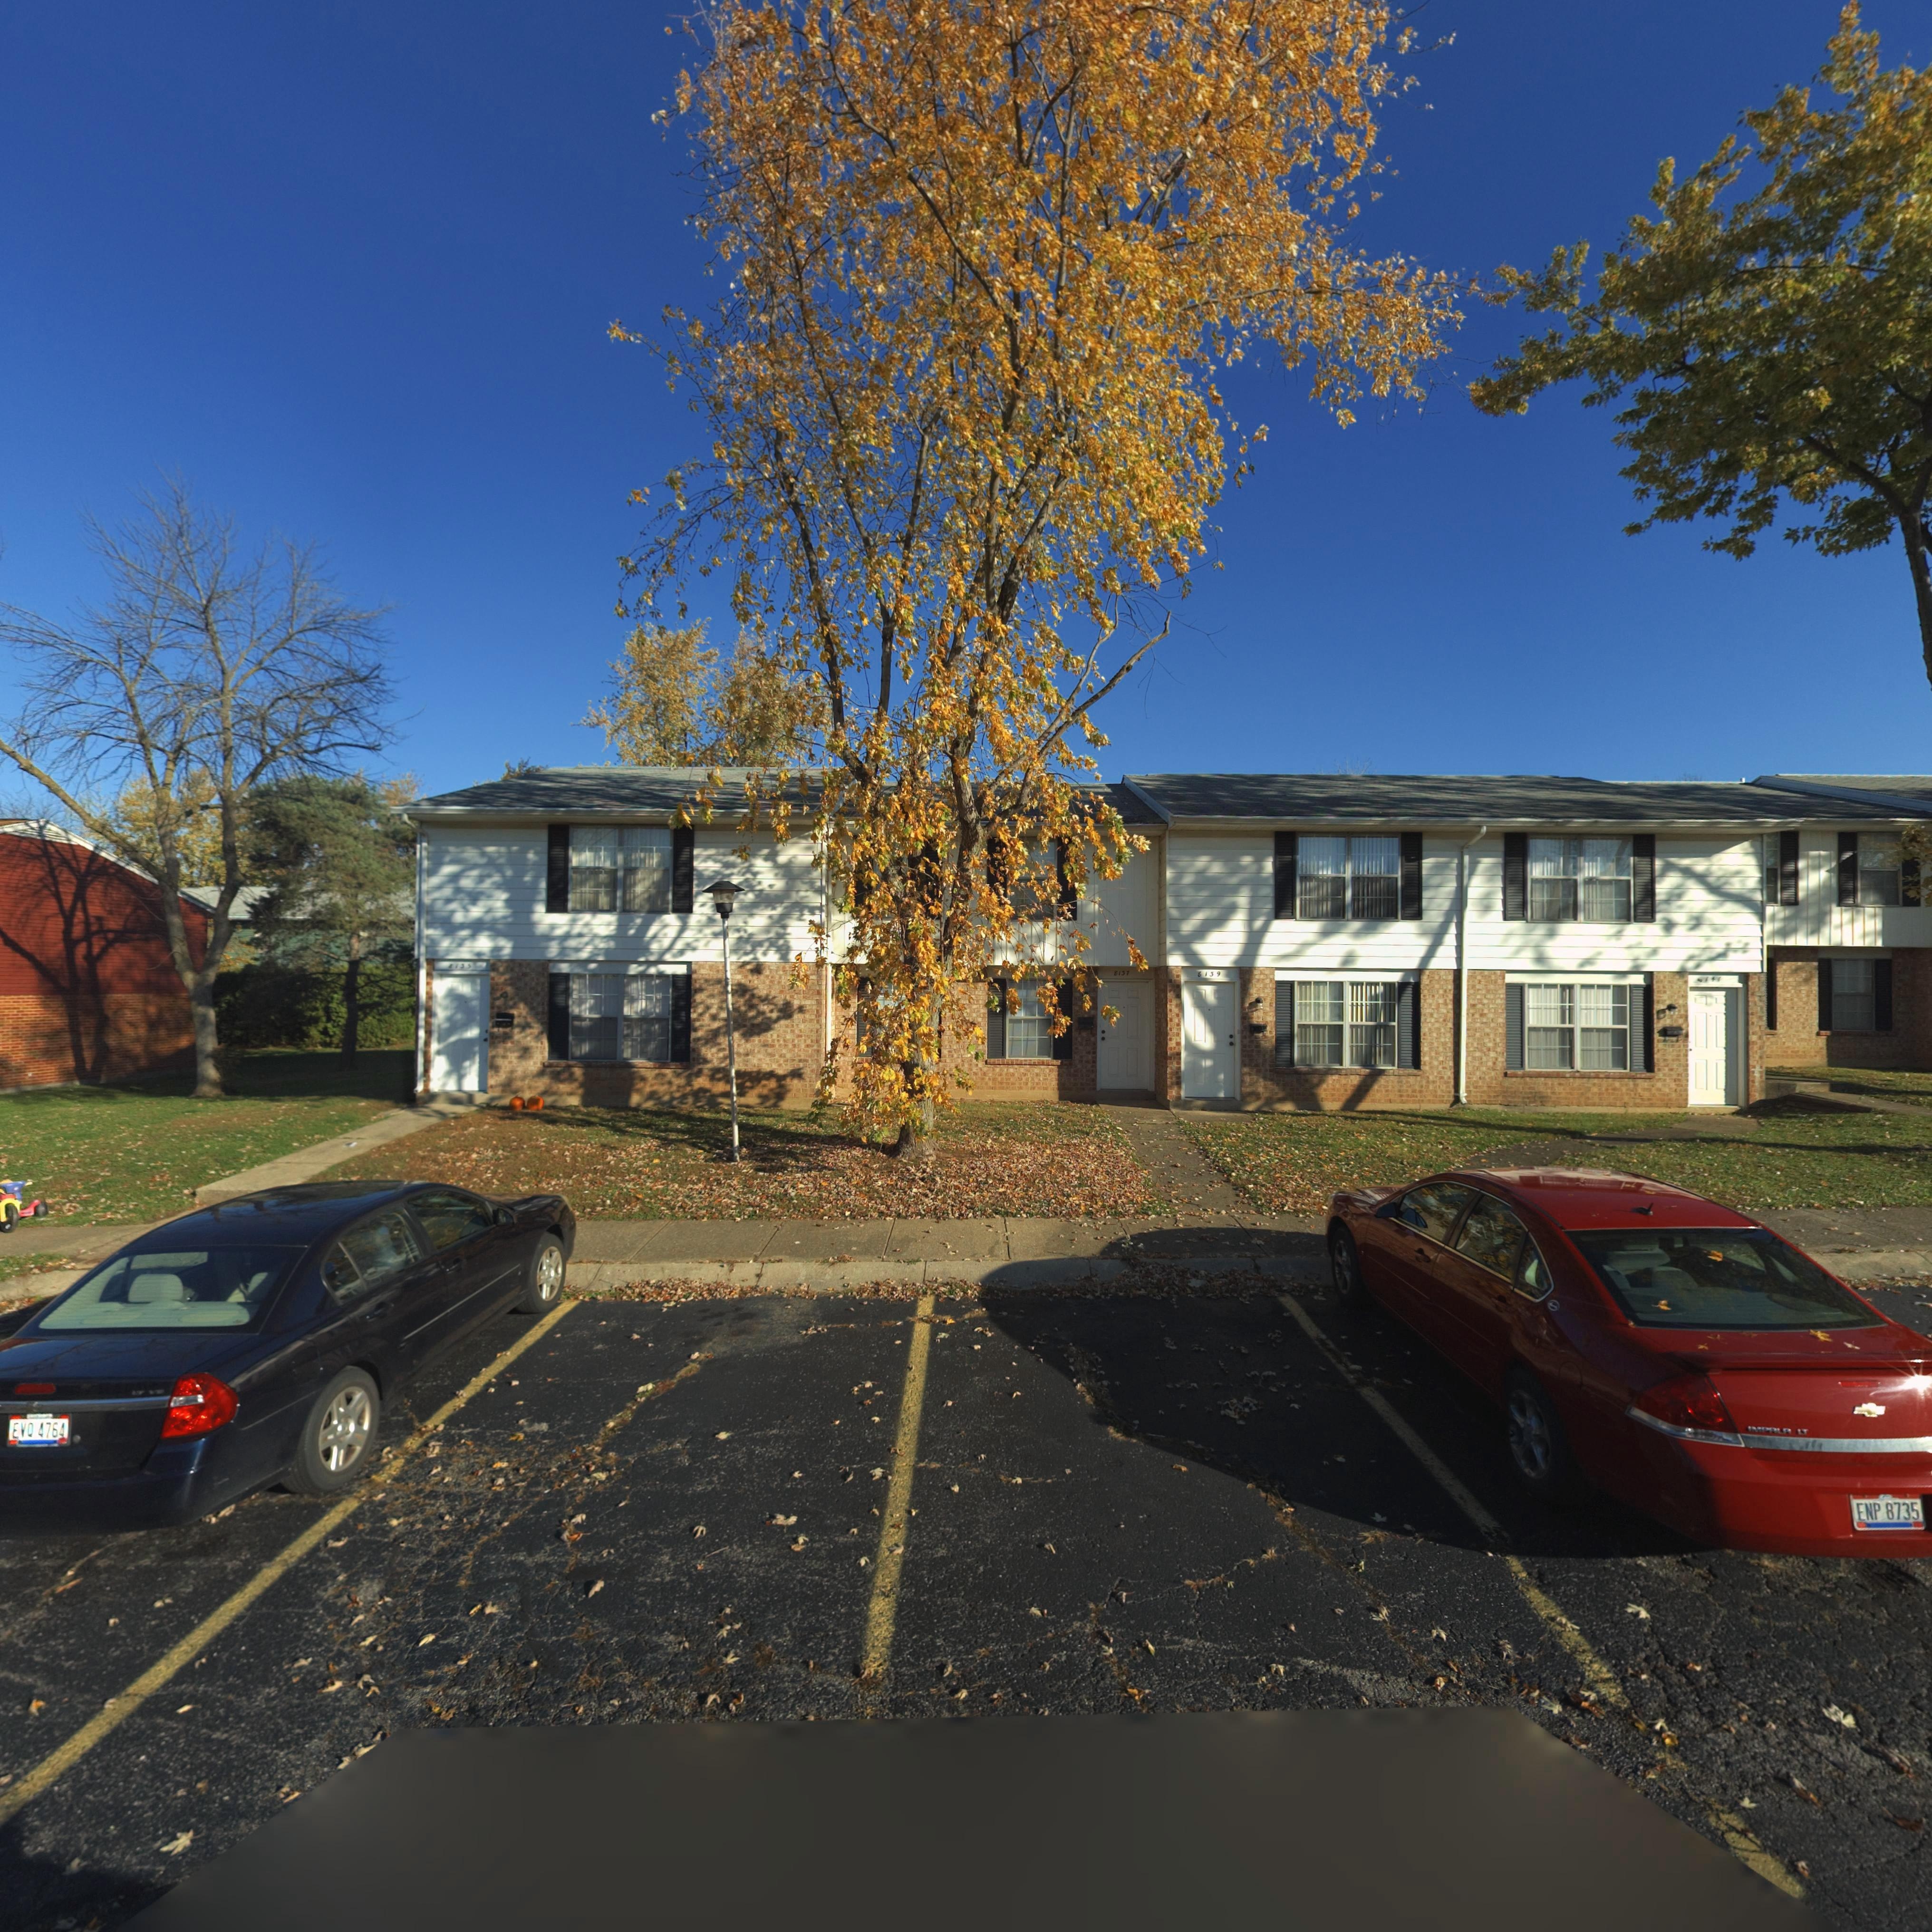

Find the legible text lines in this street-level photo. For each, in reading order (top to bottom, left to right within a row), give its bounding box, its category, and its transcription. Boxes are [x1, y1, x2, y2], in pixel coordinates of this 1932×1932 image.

[447, 962, 473, 970] StreetNumber: *135
[1113, 969, 1131, 977] StreetNumber: 81*7
[1196, 970, 1222, 978] StreetNumber: 8139
[1696, 975, 1722, 985] StreetNumber: *1*1